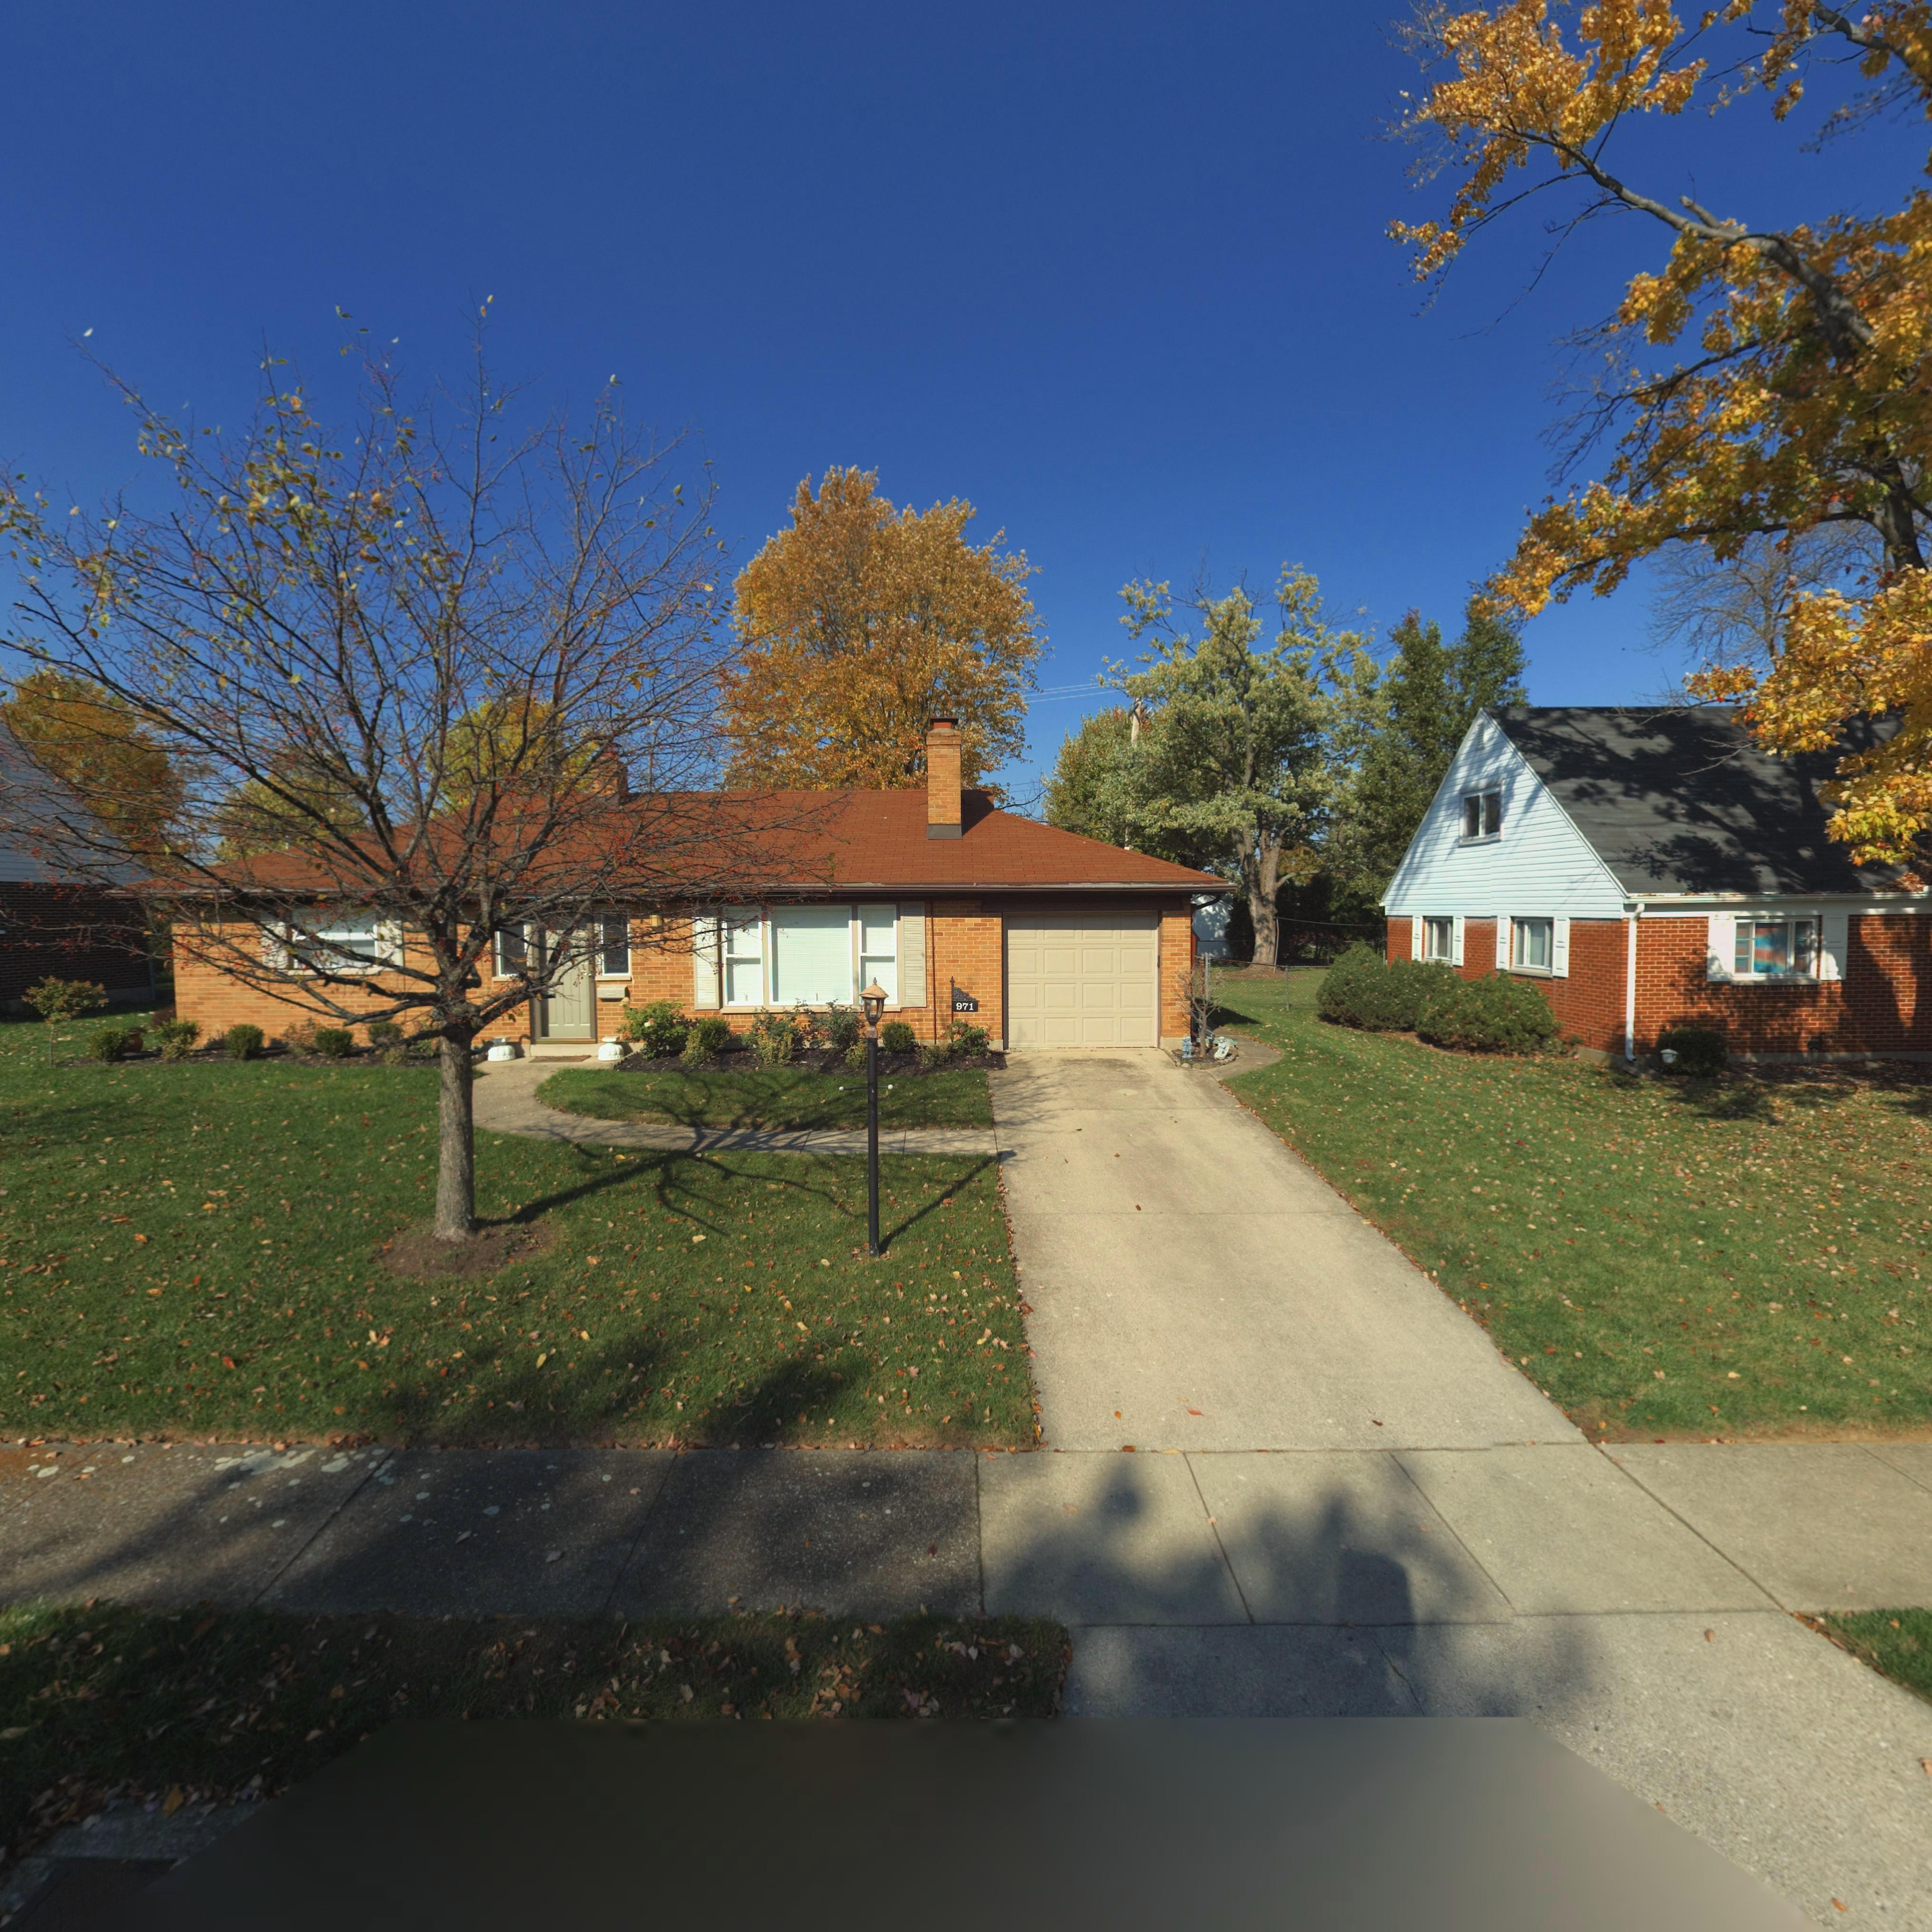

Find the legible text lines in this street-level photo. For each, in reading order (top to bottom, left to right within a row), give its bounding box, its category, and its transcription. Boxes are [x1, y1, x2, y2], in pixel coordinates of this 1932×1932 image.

[955, 1001, 975, 1012] StreetNumber: 971